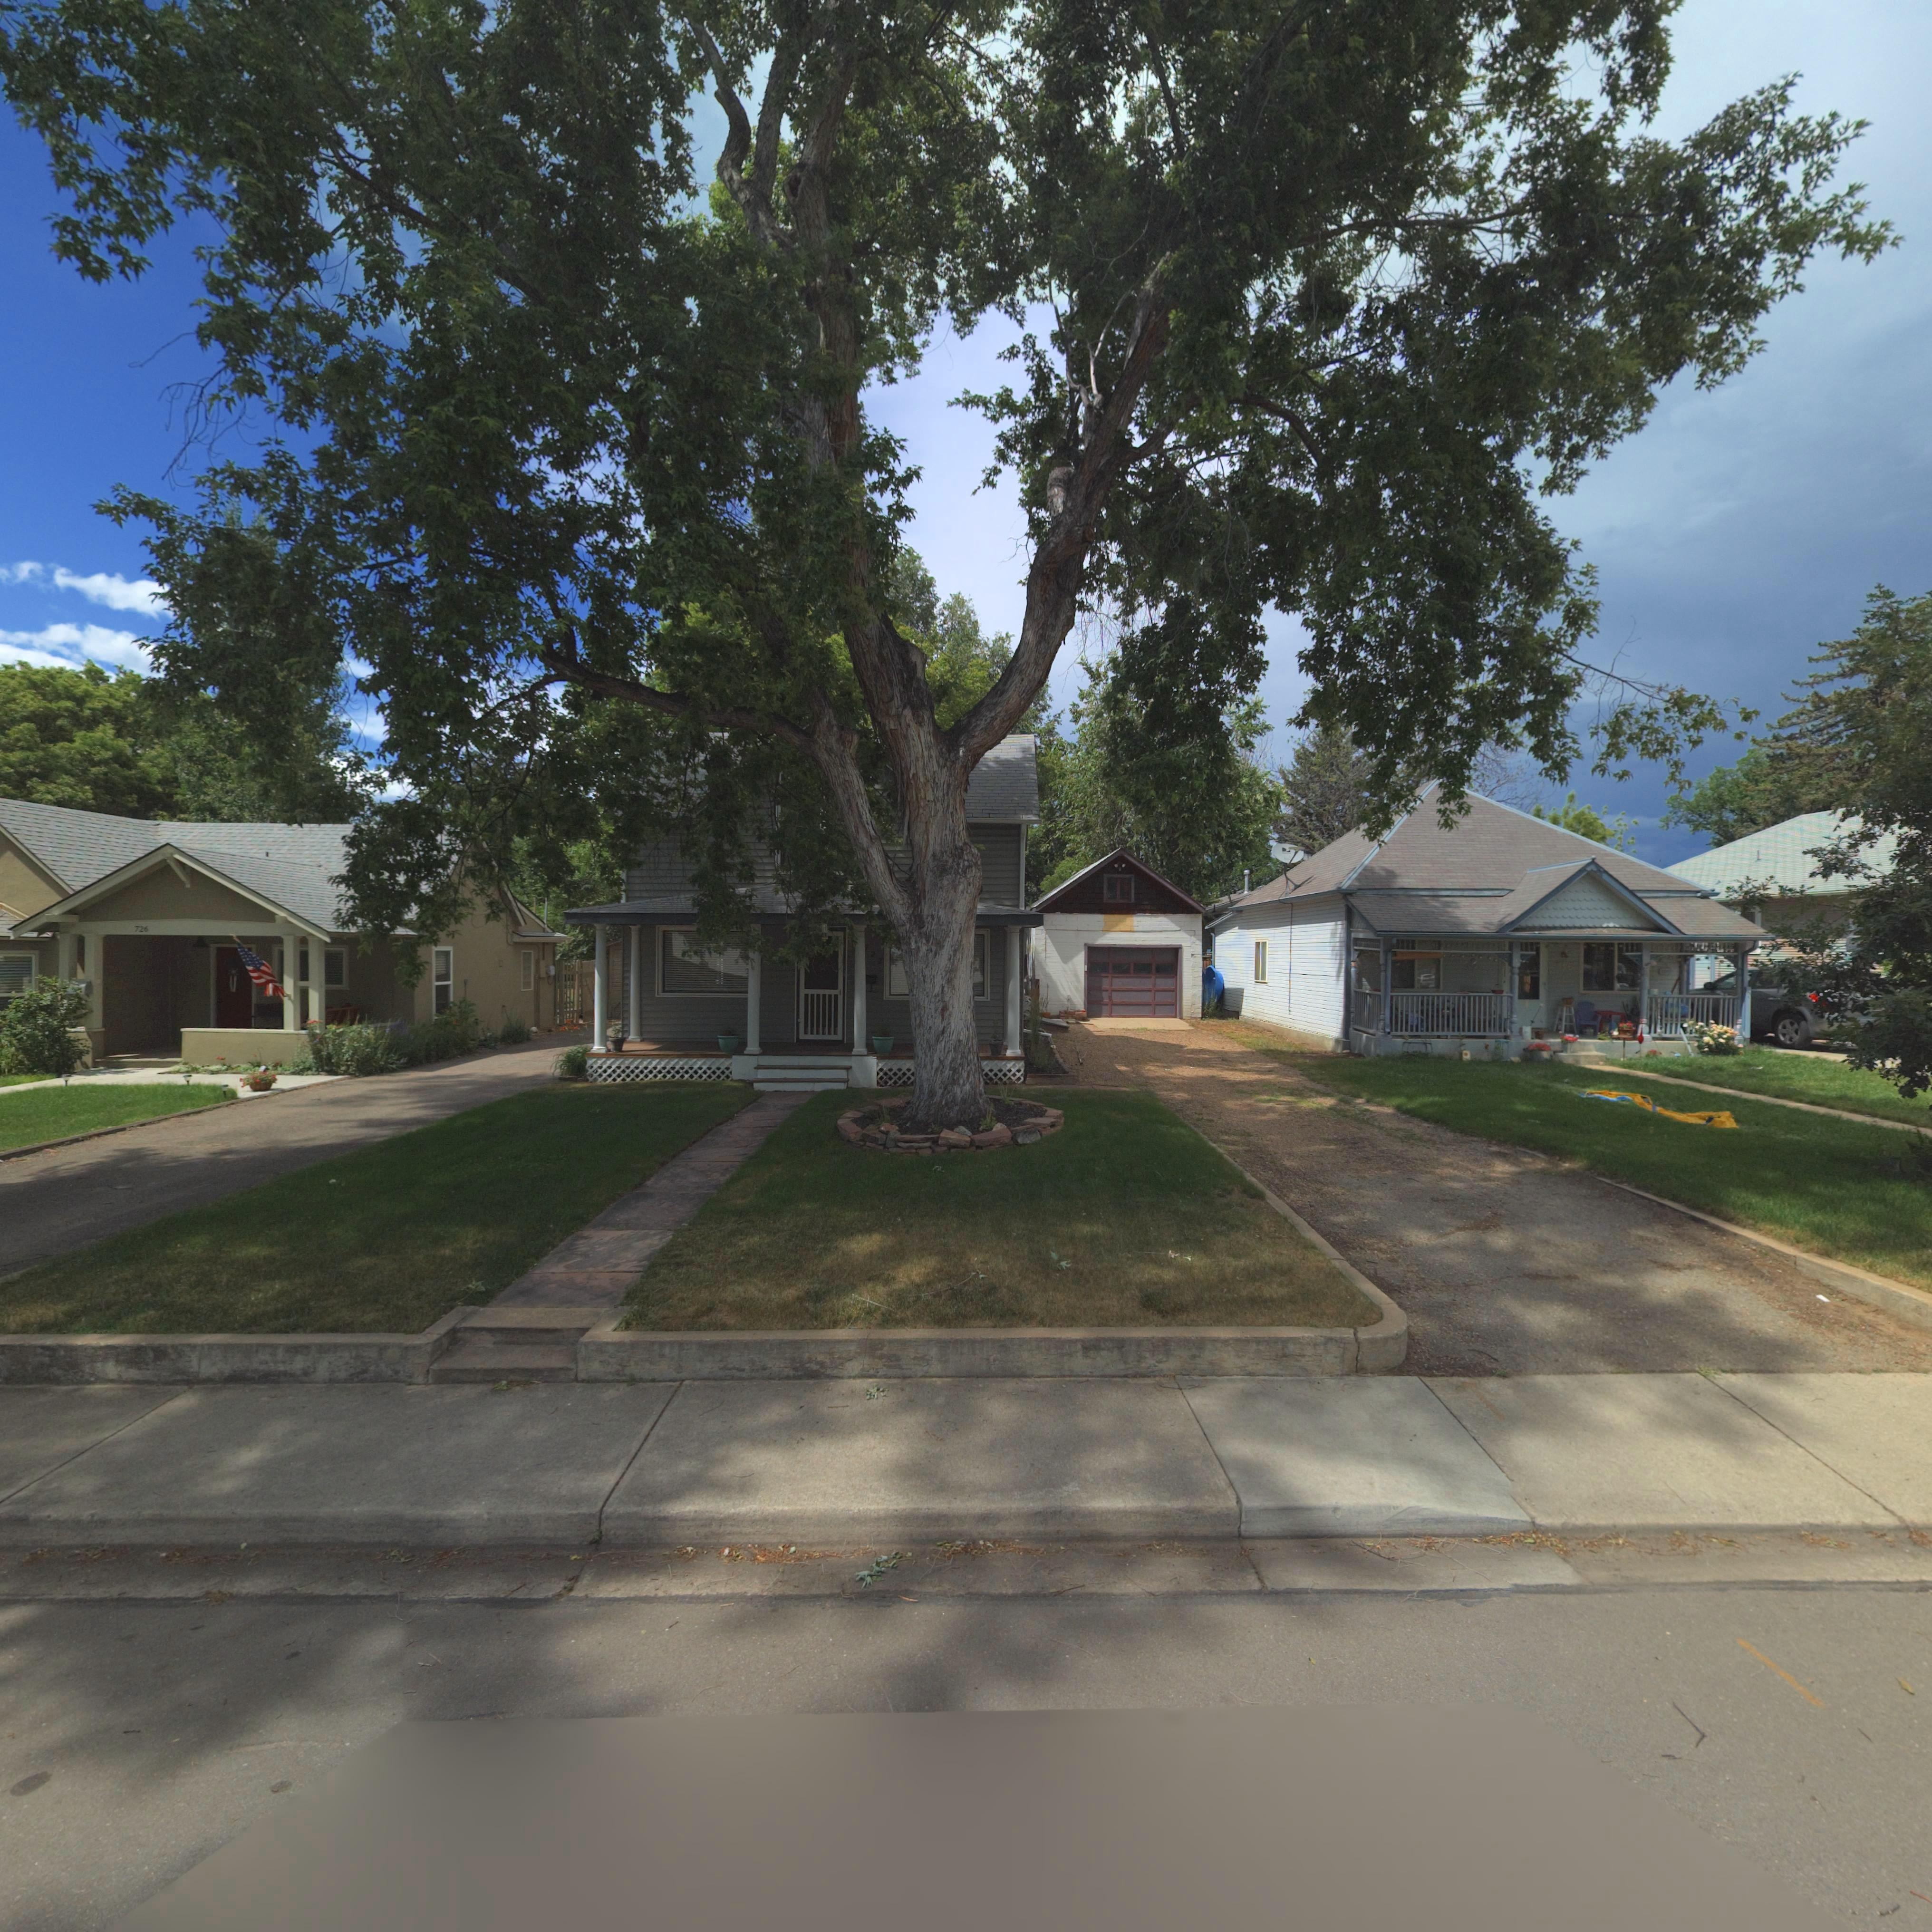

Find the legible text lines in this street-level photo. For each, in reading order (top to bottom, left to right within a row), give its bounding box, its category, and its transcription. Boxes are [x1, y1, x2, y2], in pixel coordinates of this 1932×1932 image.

[134, 924, 149, 933] StreetNumber: 726
[863, 940, 883, 966] StreetNumber: 722